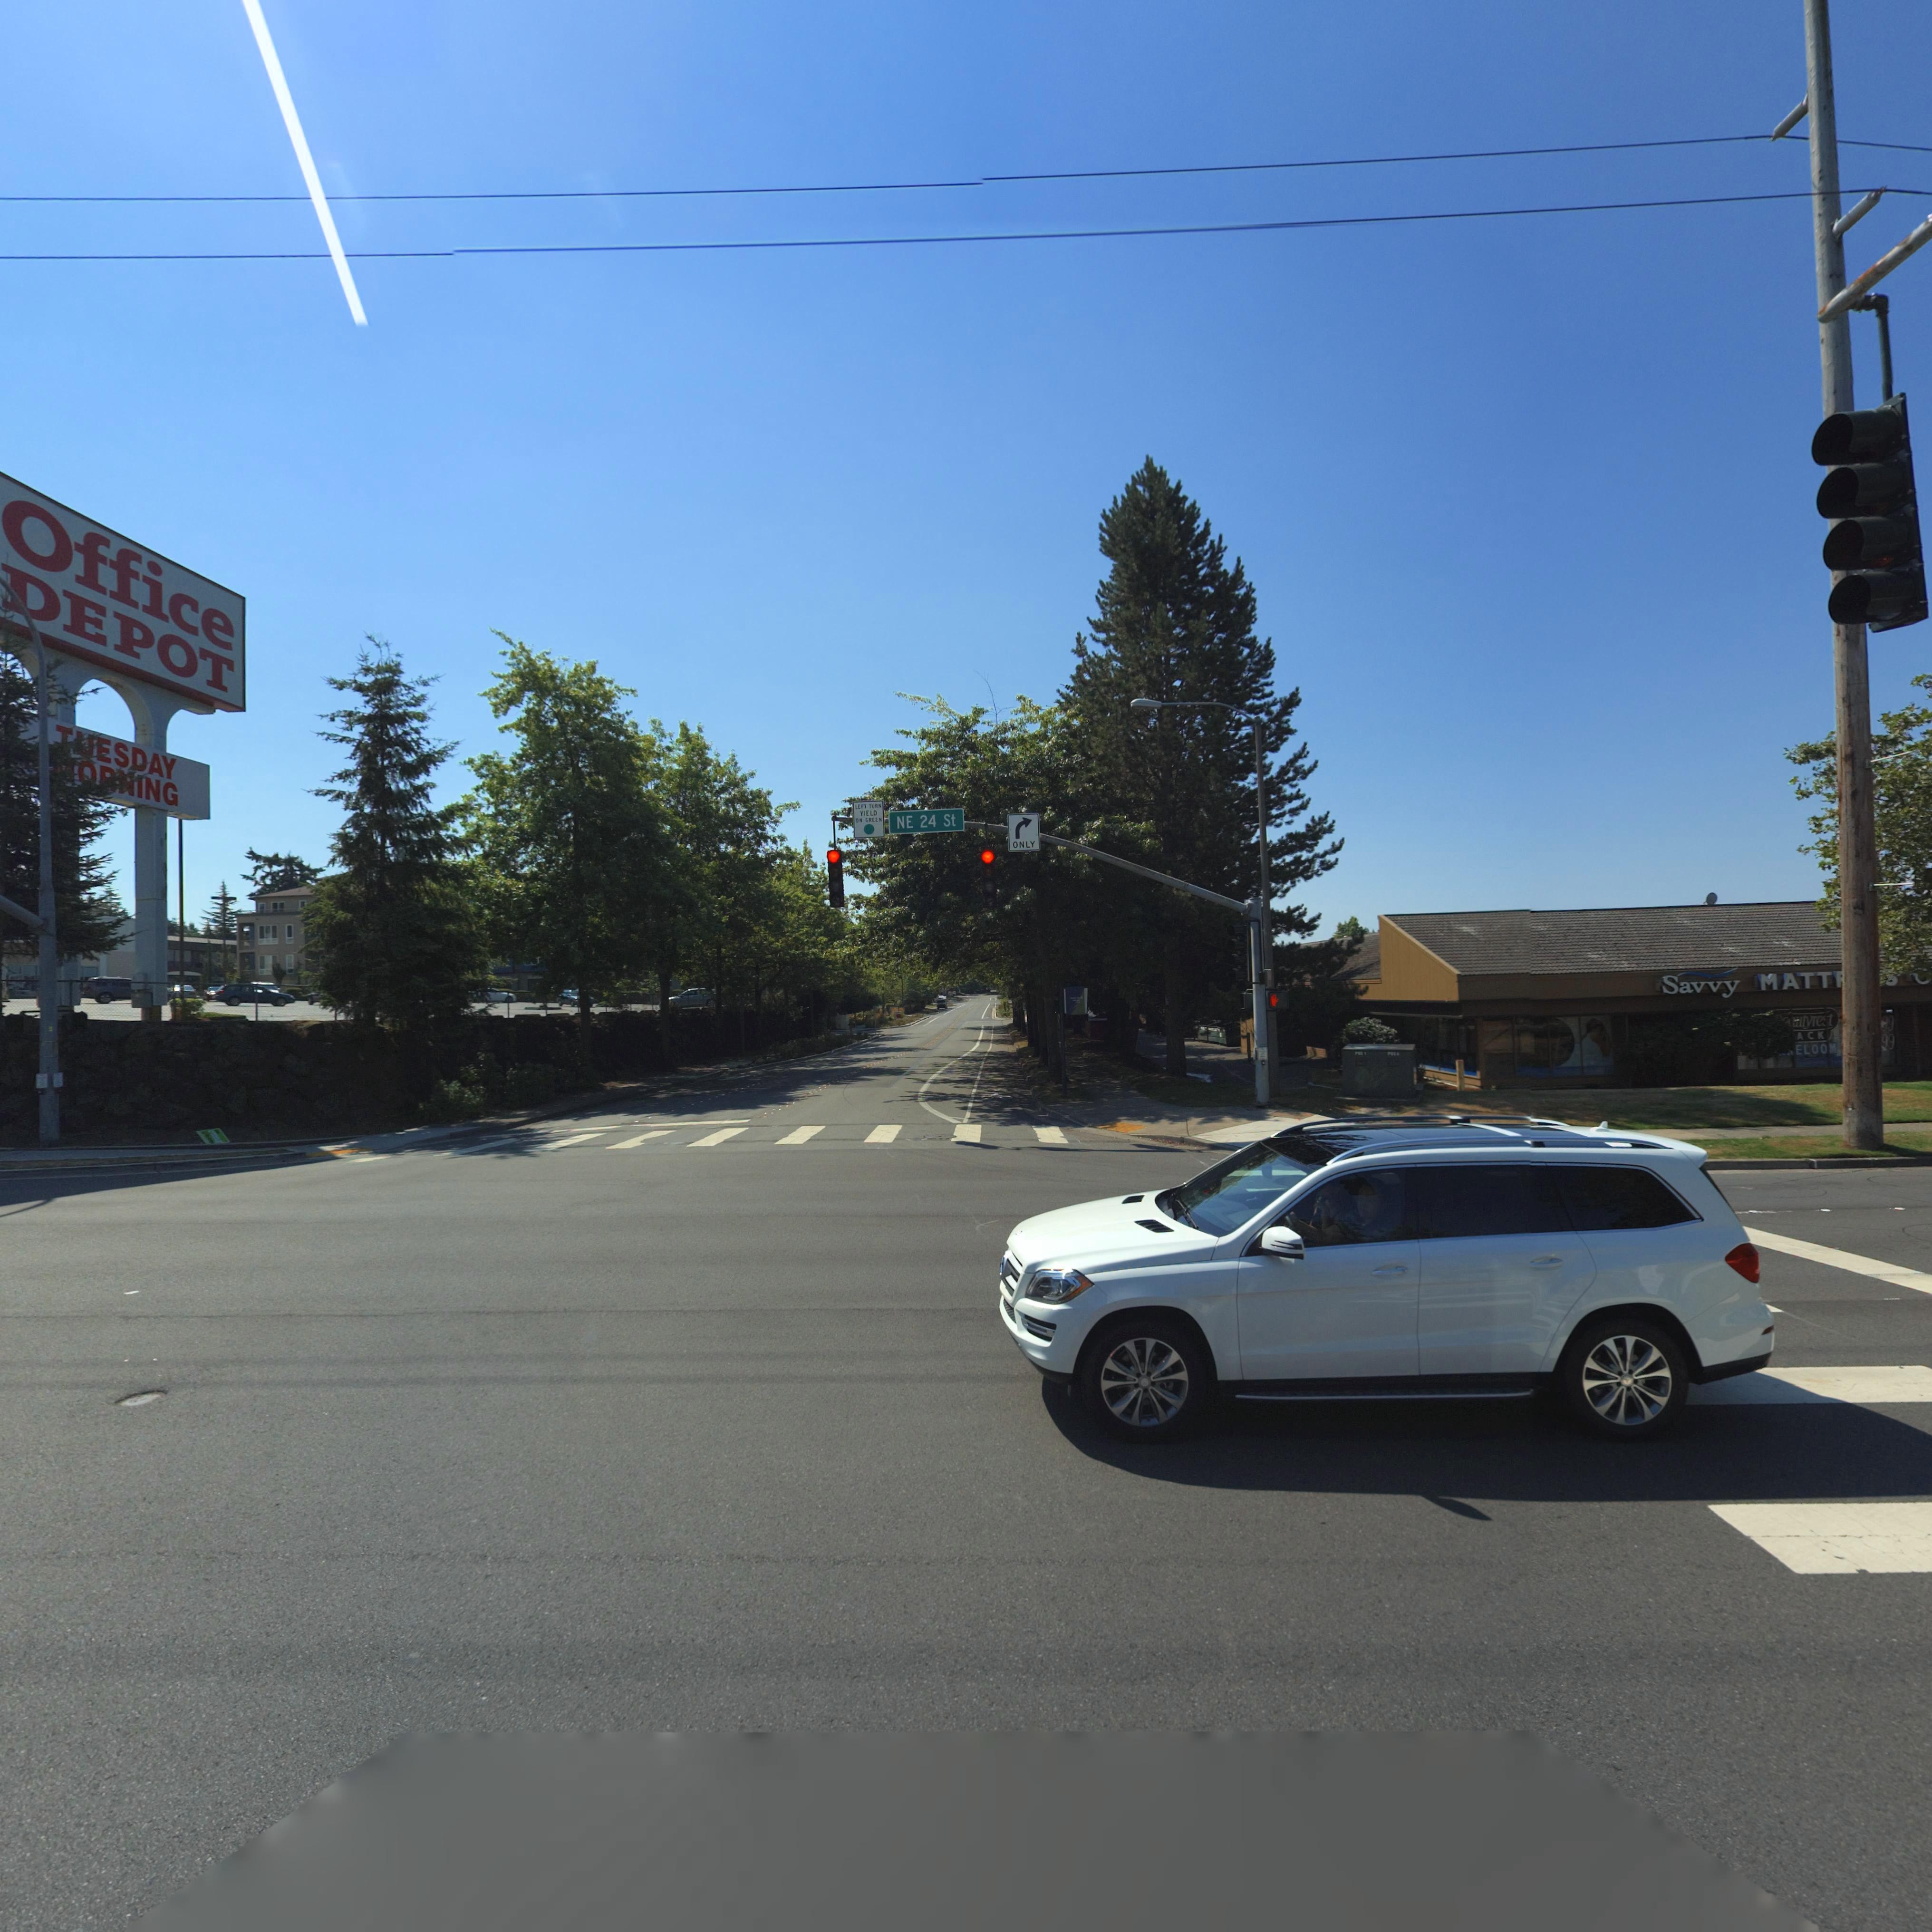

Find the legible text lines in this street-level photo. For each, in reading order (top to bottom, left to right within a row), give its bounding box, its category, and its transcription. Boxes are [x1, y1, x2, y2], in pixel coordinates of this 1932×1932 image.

[0, 489, 235, 654] BusinessName: Office
[0, 557, 236, 696] BusinessName: DEPOT
[853, 802, 883, 810] TrafficSign: LEFT TURN
[857, 808, 879, 817] TrafficSign: YIELD
[855, 816, 882, 823] TrafficSign: ON GREEN
[895, 812, 957, 831] StreetName: NE 24 St
[1011, 840, 1037, 849] TrafficSign: ONLY
[1660, 974, 1743, 1000] BusinessName: Savvy